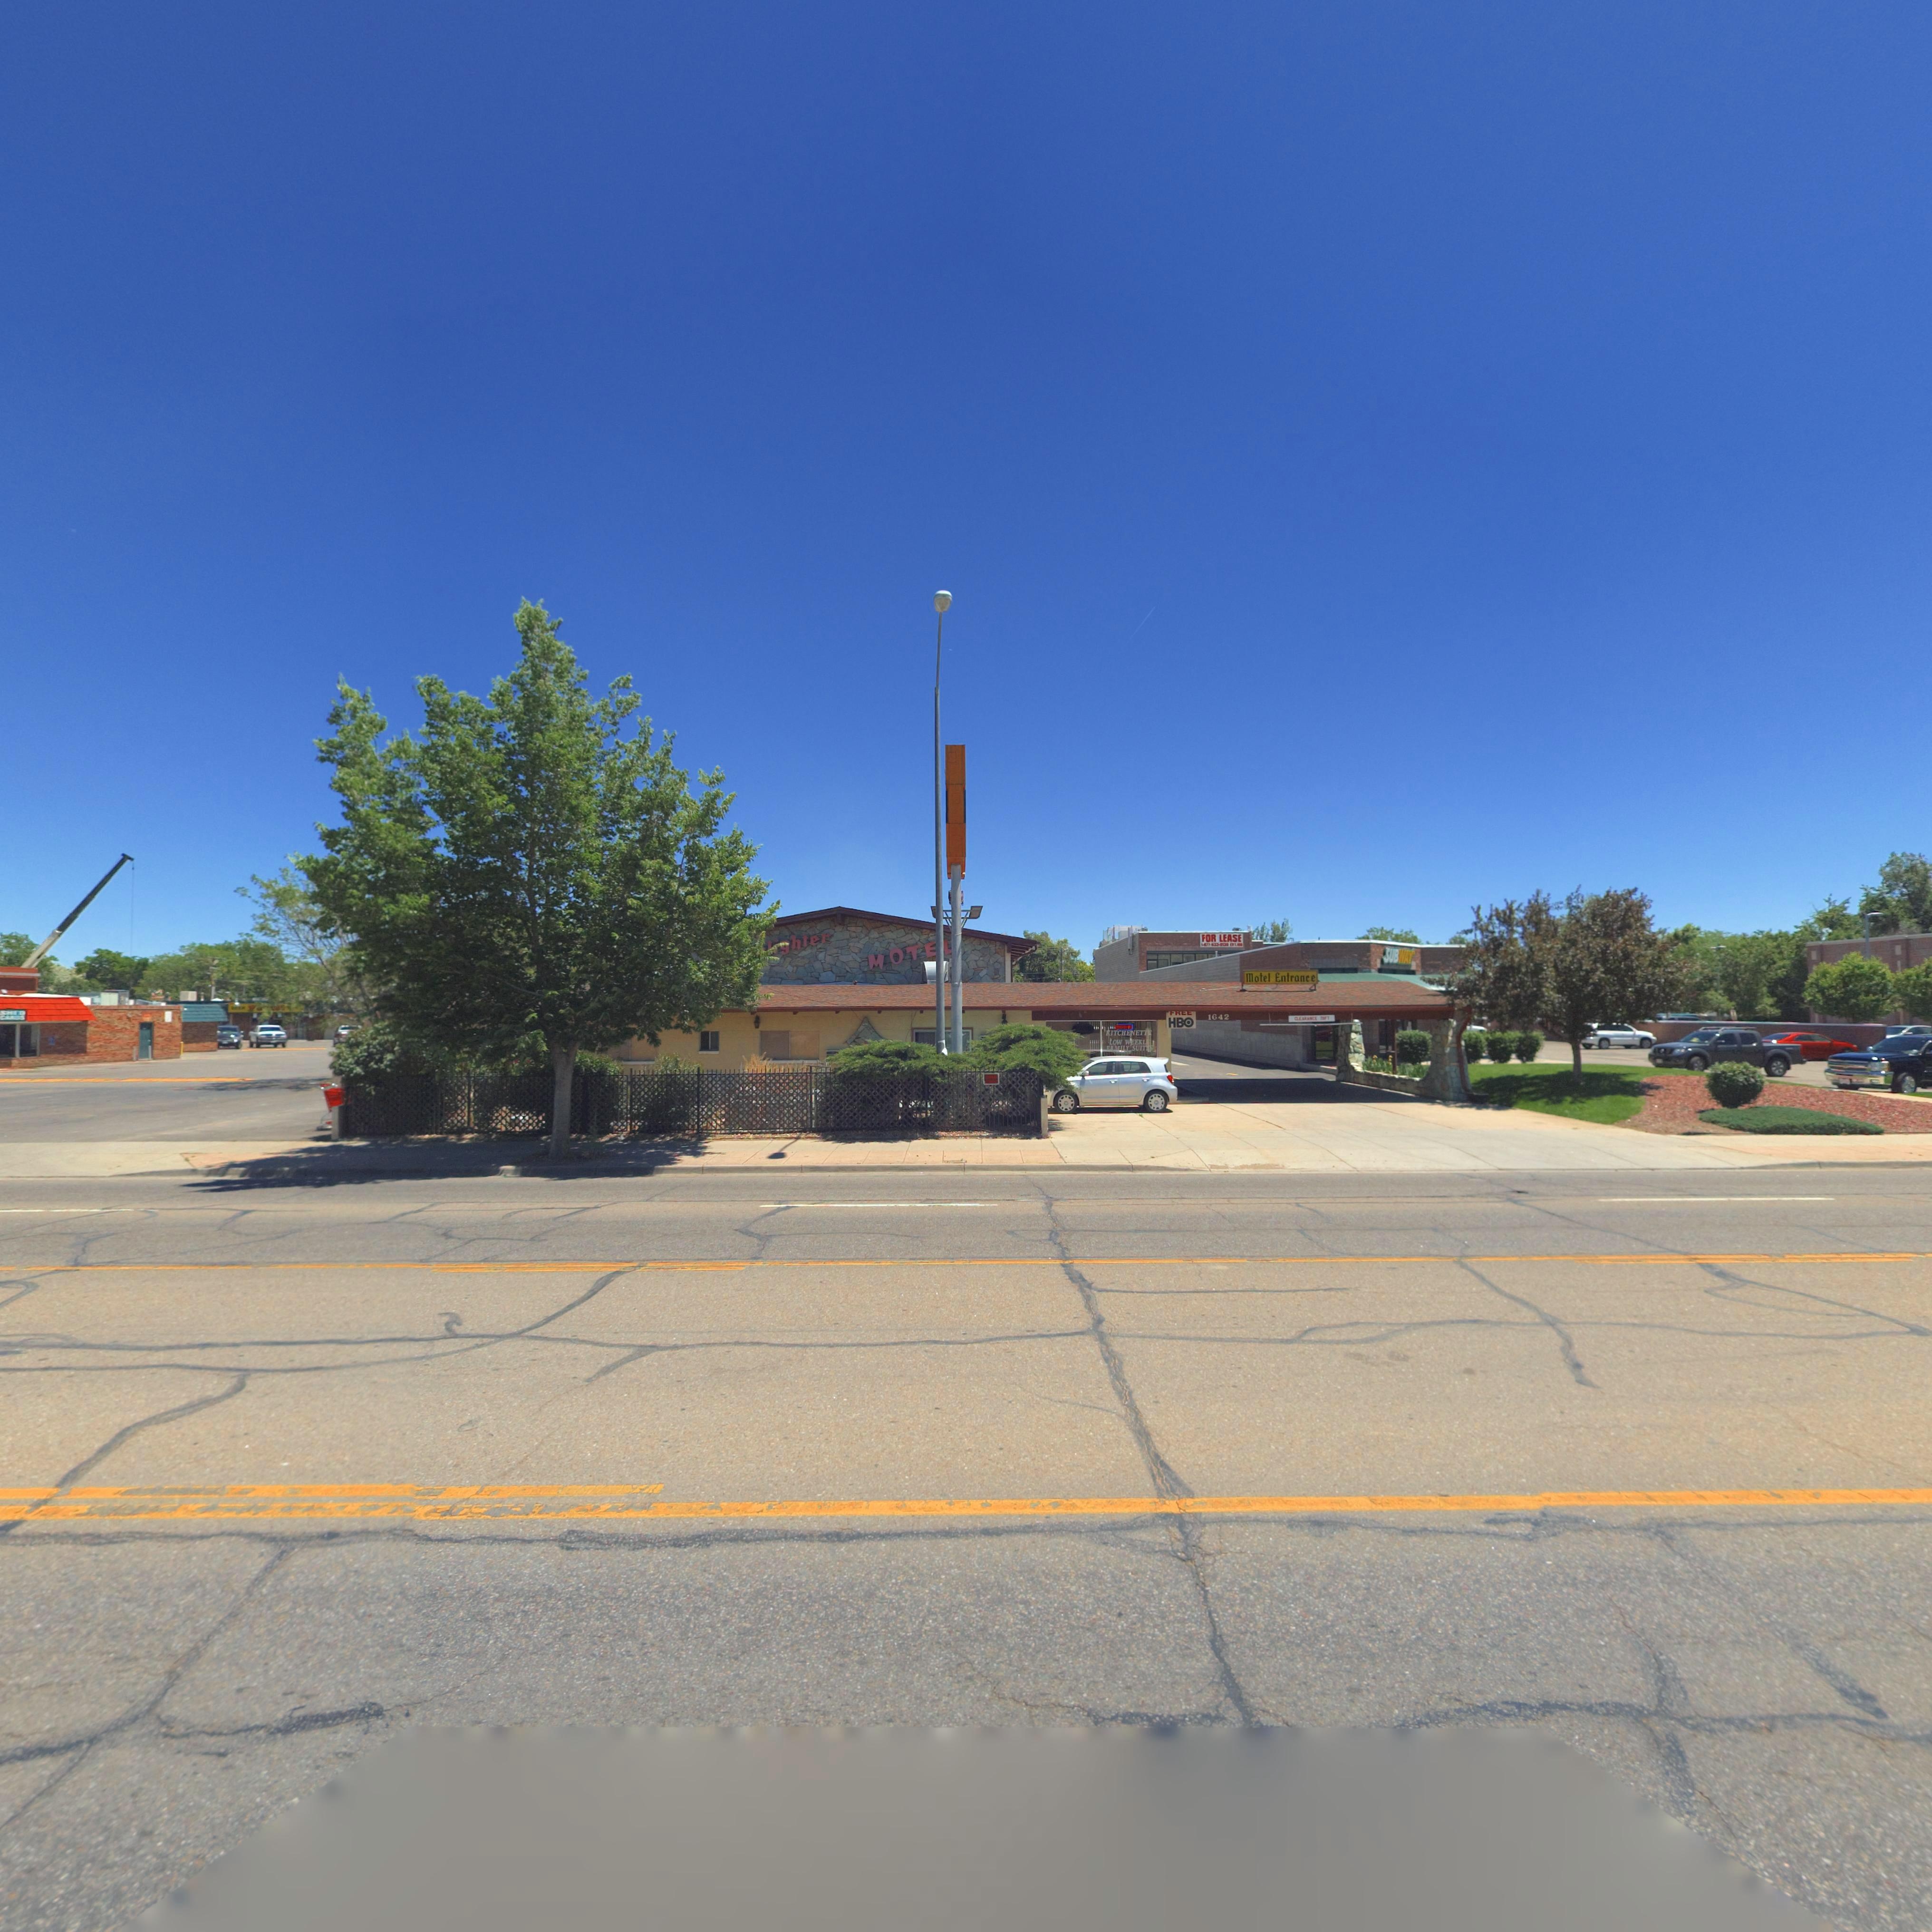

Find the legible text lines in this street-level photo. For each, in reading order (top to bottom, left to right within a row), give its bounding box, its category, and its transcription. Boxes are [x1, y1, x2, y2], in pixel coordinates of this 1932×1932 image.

[767, 932, 832, 957] BusinessName: **ghter
[866, 937, 955, 971] BusinessName: MOTE*
[1380, 947, 1417, 965] BusinessName: SUBWAY
[1208, 1013, 1229, 1020] StreetNumber: 1642